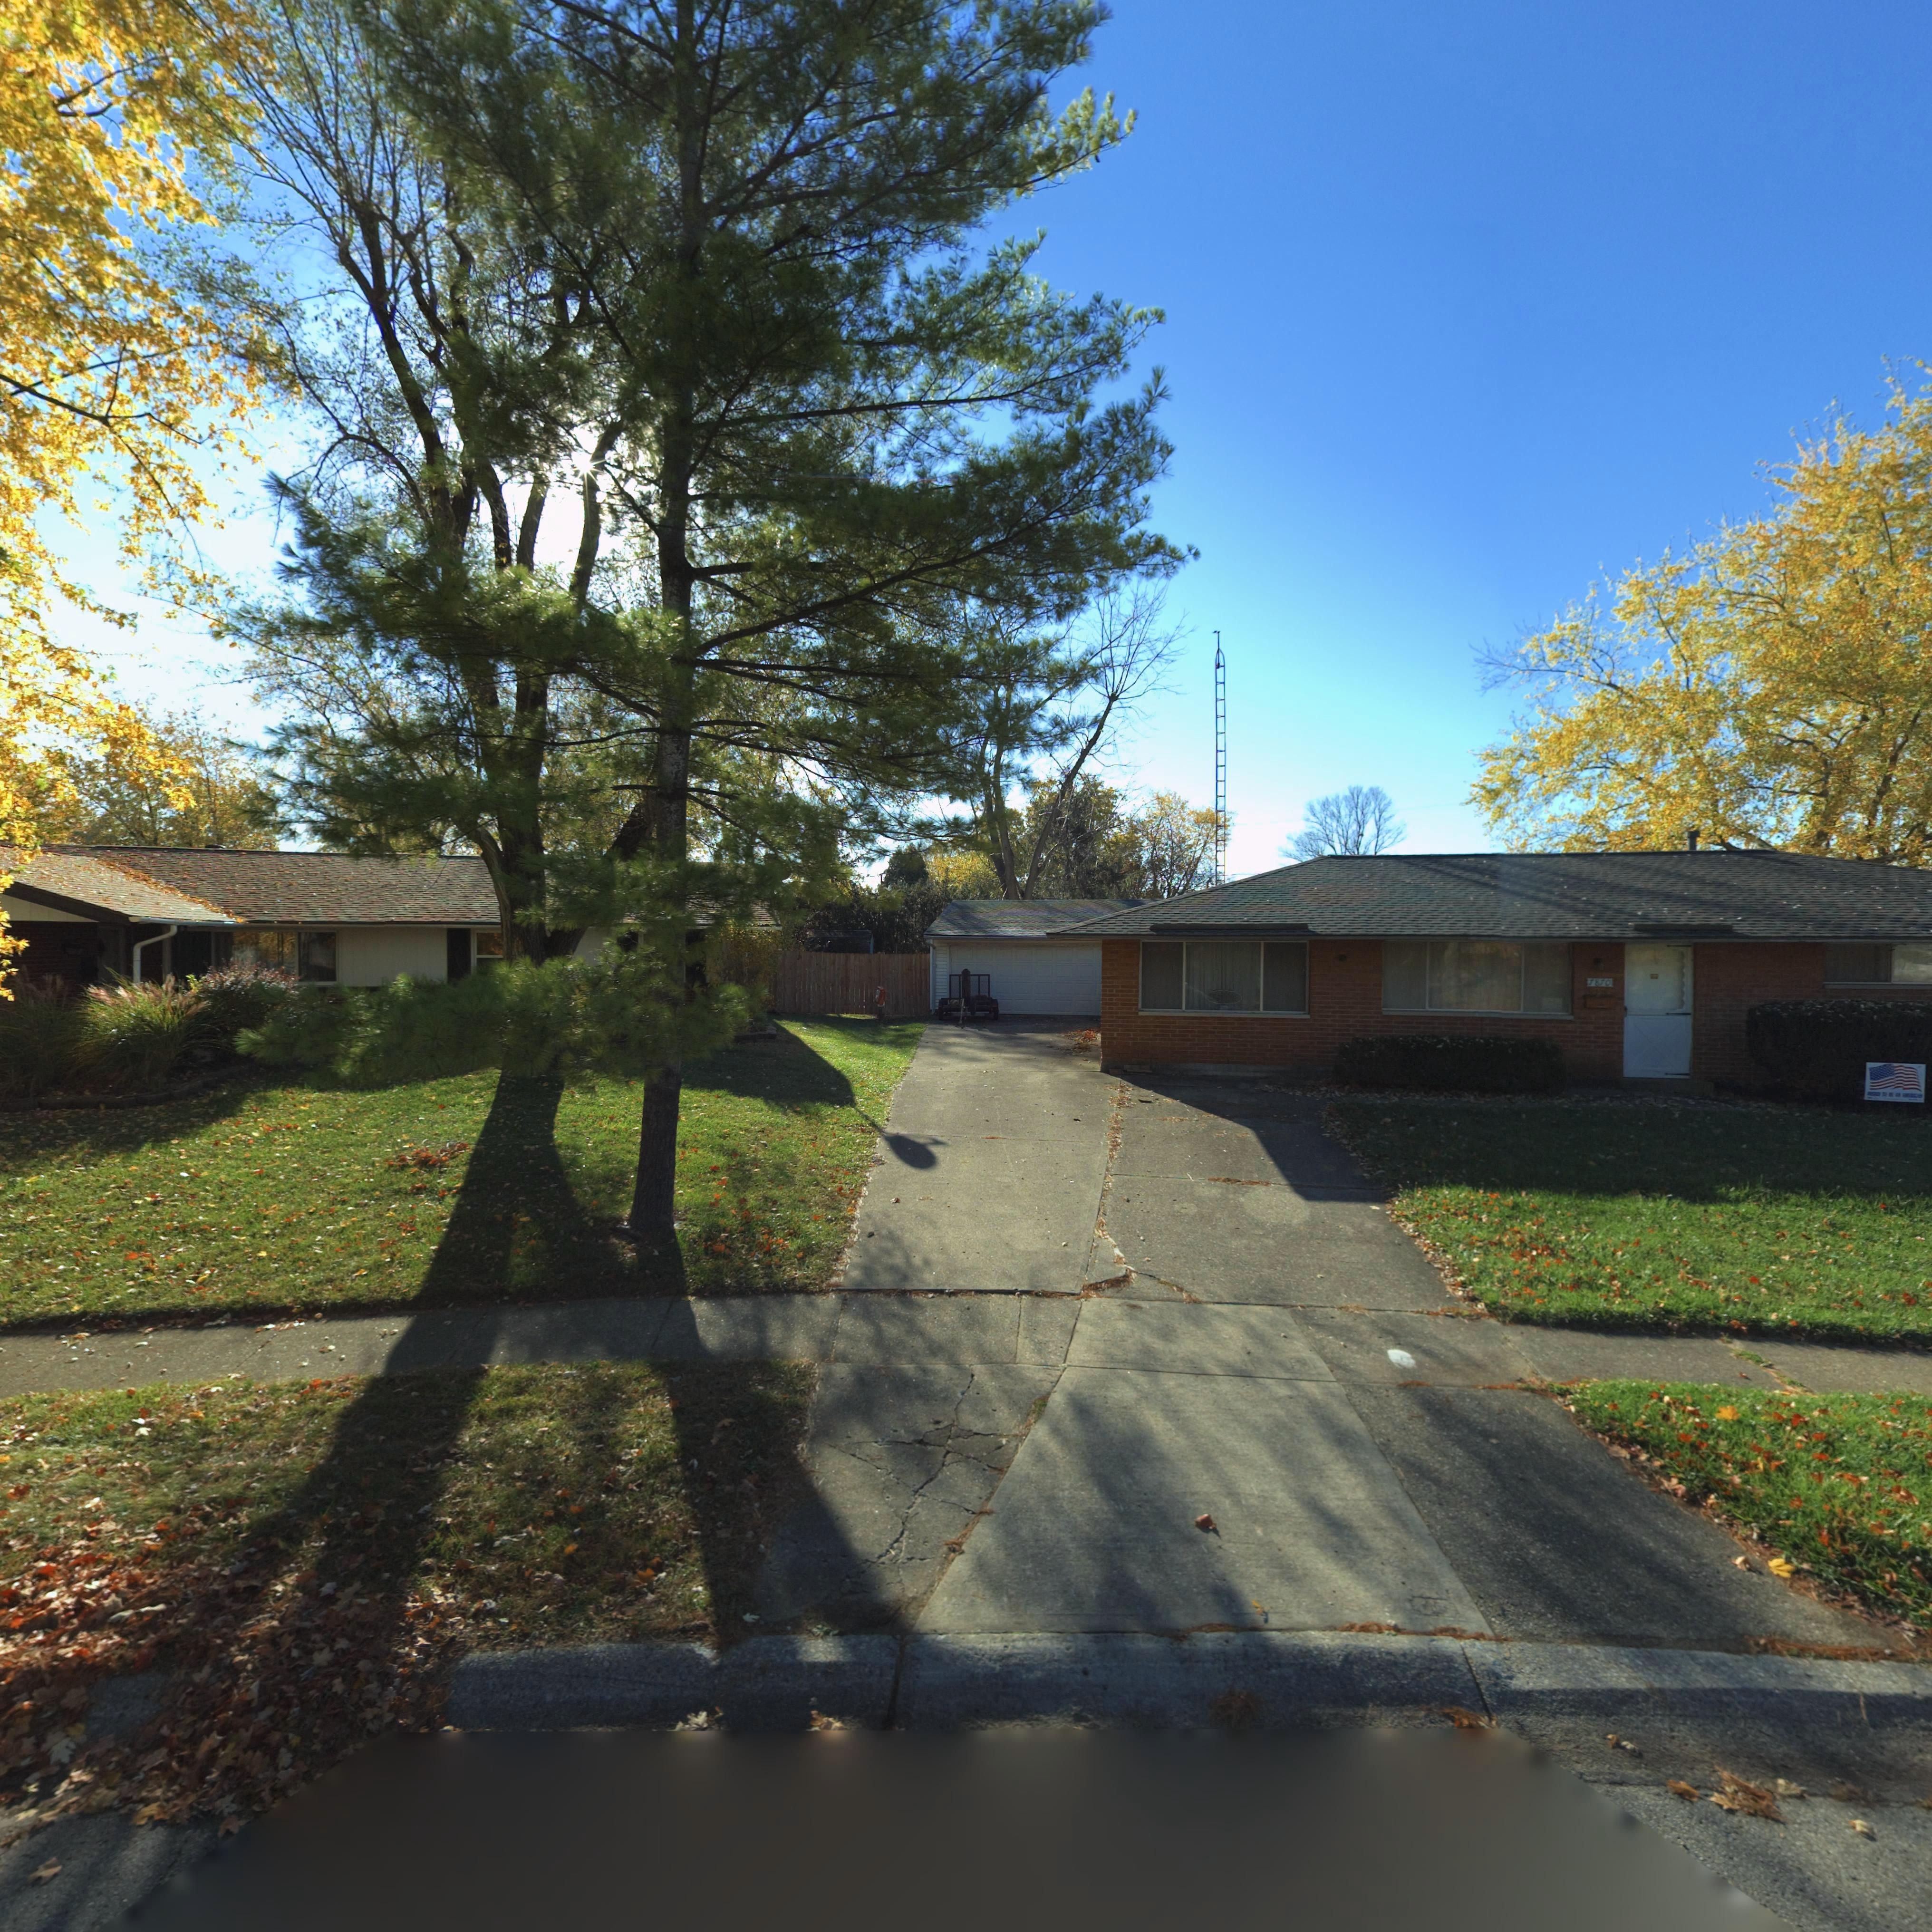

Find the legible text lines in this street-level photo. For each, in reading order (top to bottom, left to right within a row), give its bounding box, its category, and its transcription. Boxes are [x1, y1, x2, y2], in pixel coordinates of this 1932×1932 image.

[1587, 978, 1612, 986] StreetNumber: 7870